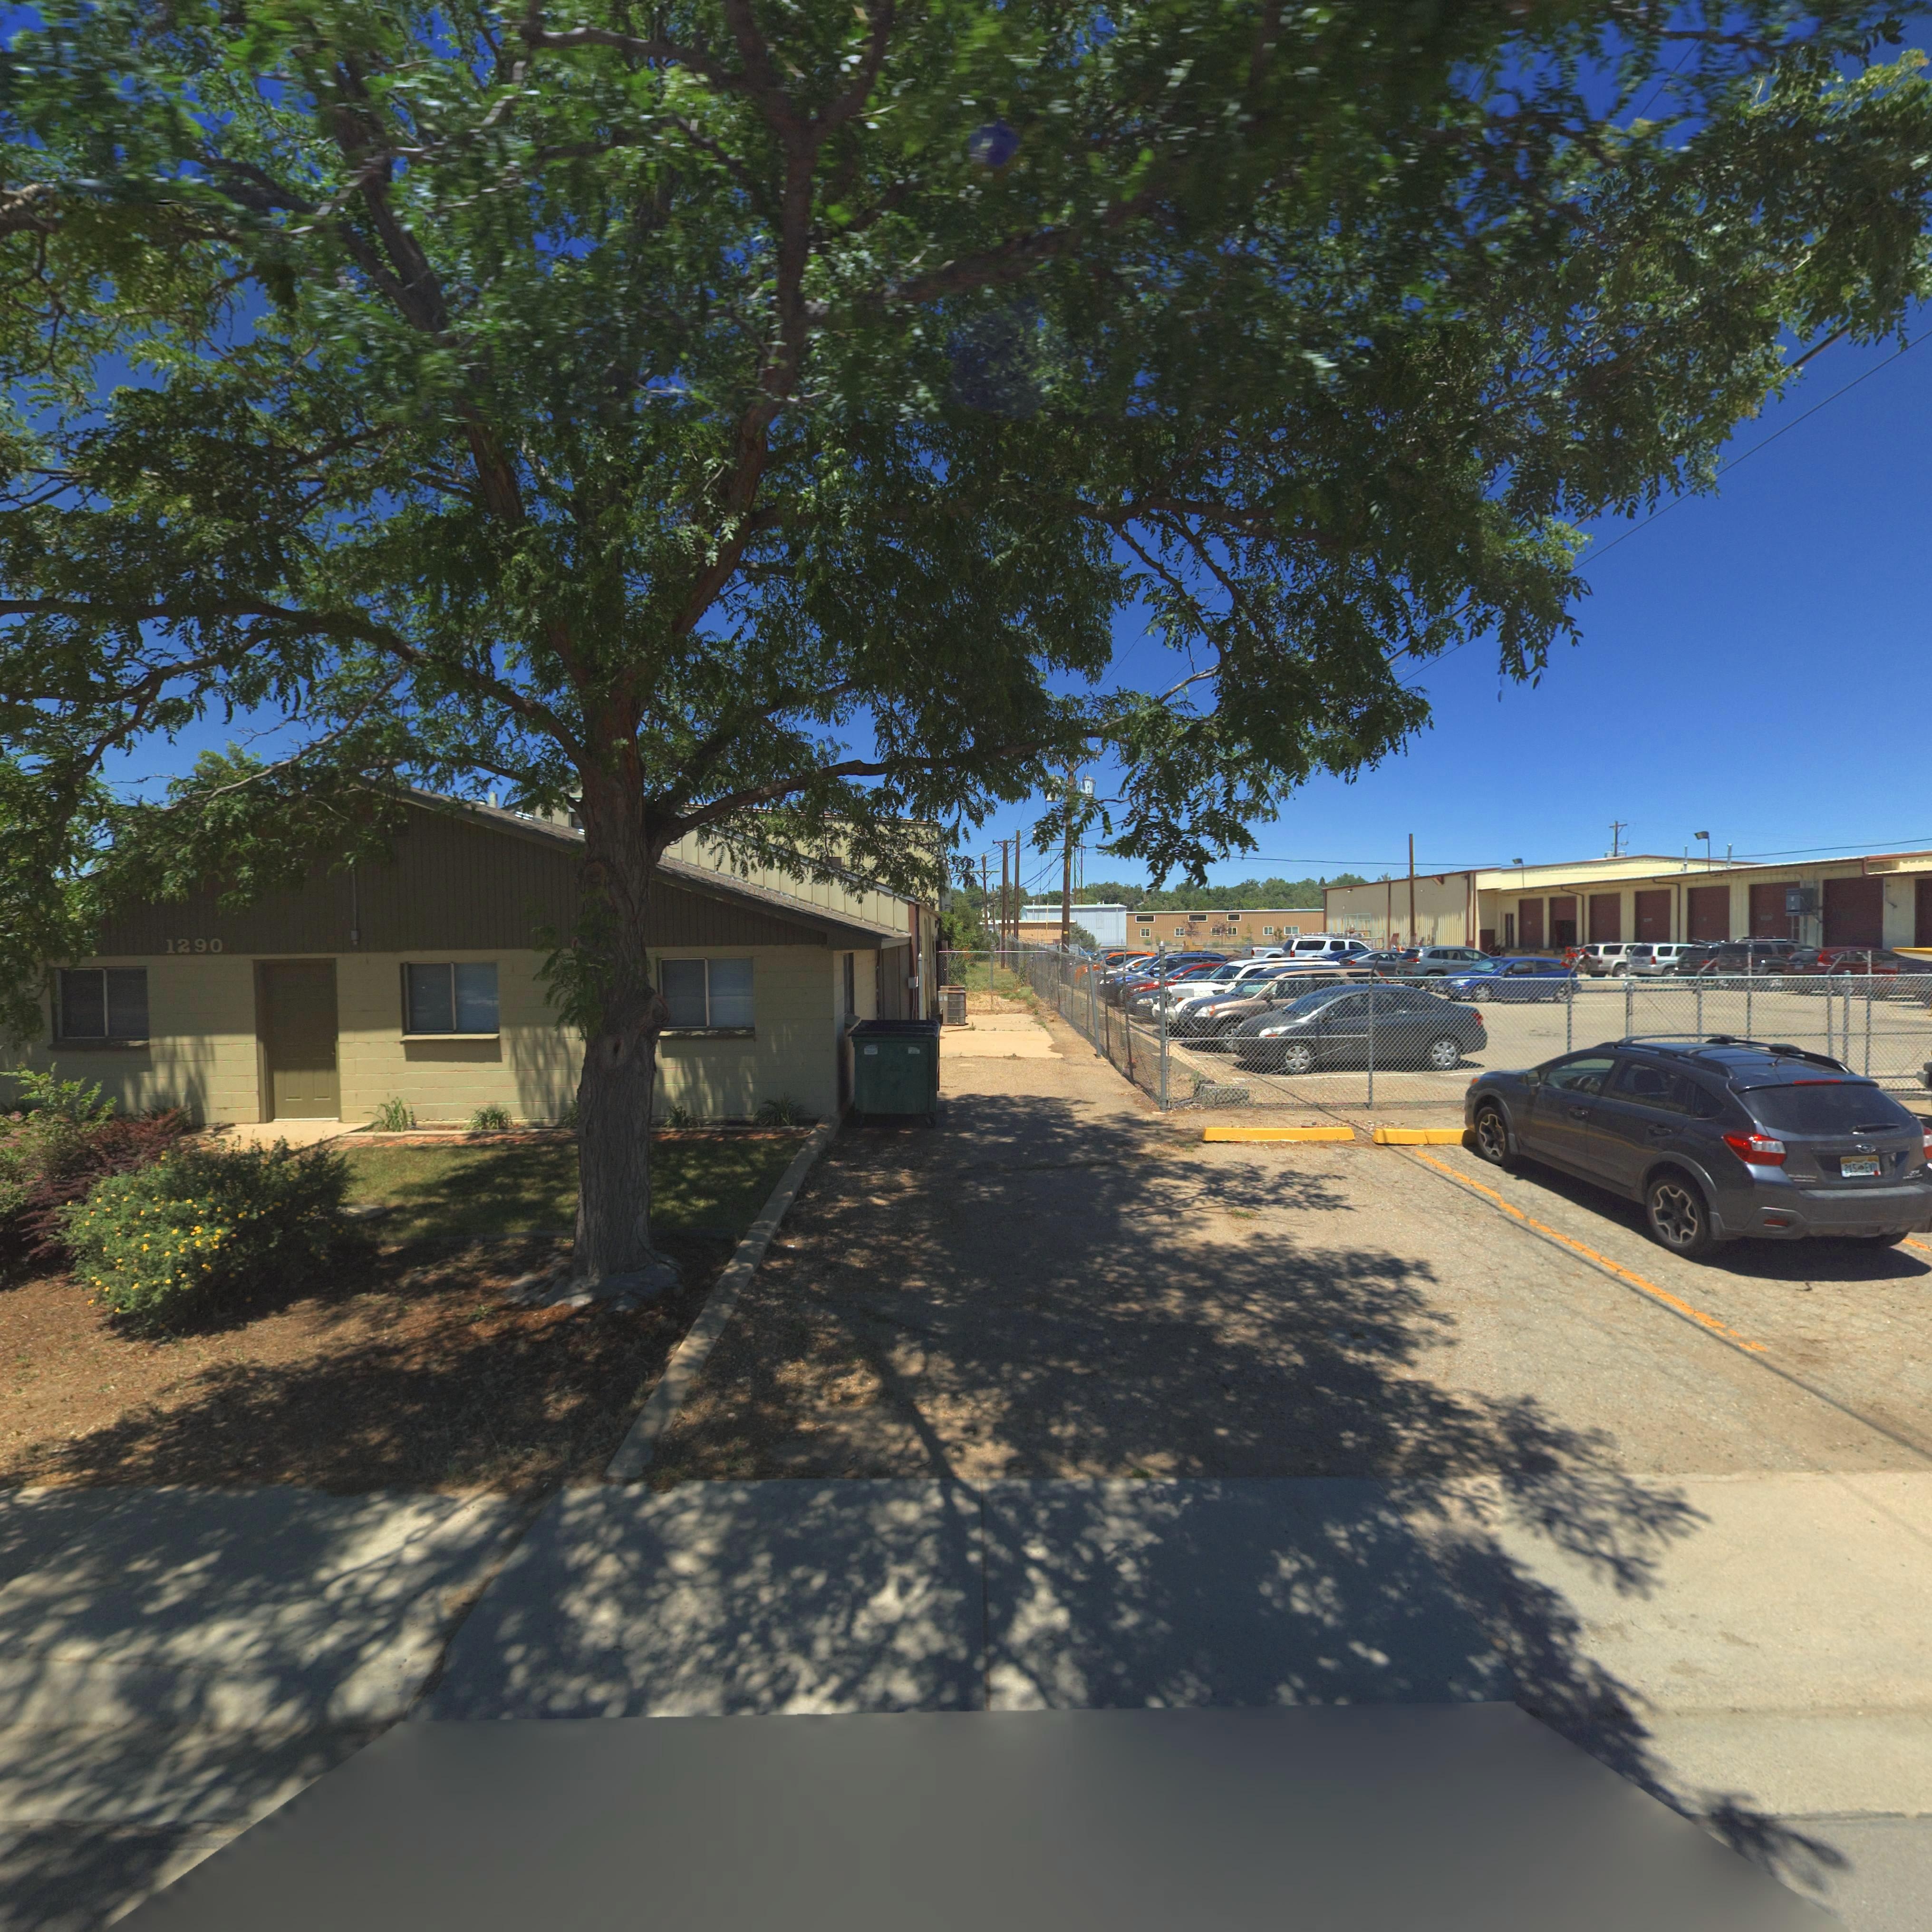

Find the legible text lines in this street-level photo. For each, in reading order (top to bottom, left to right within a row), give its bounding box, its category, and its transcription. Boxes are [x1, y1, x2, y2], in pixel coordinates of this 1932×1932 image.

[166, 937, 223, 954] StreetNumber: 1290